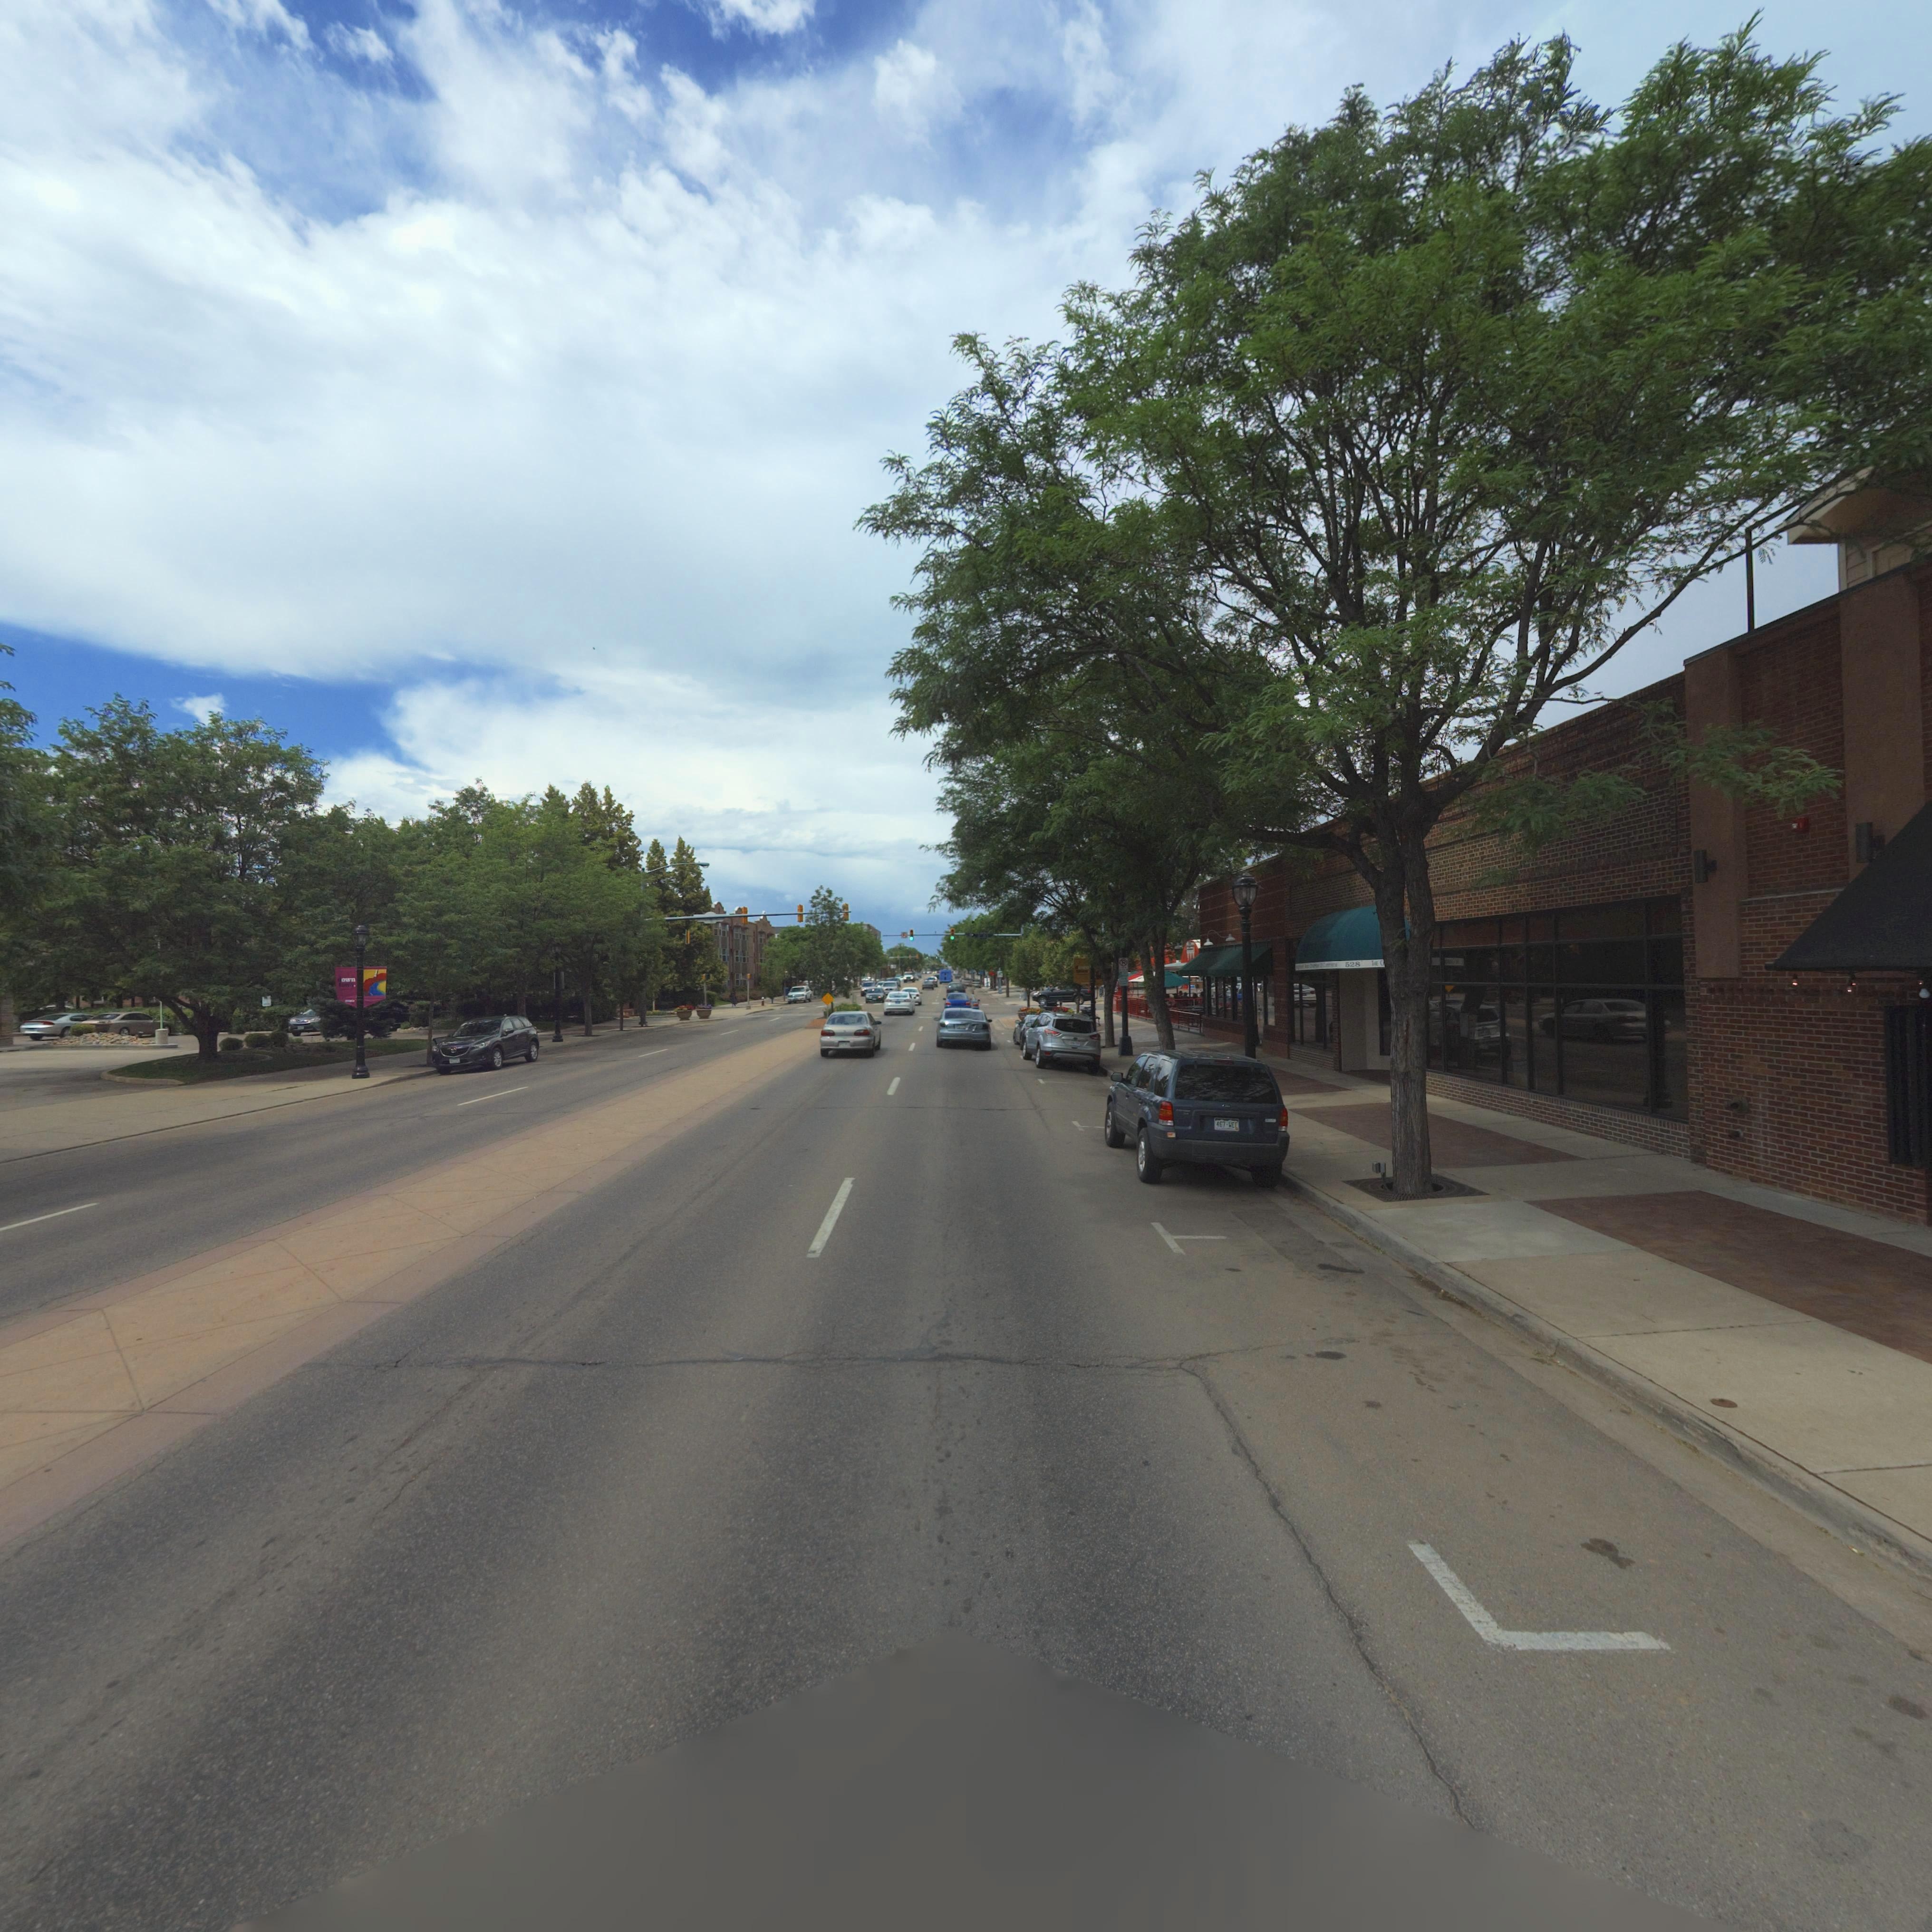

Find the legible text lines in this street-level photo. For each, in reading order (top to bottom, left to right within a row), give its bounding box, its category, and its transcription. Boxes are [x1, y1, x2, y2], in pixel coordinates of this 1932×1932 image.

[1319, 962, 1337, 968] BusinessName: of Commerce
[1345, 961, 1360, 967] StreetNumber: 528
[1371, 959, 1383, 966] BusinessName: THE C